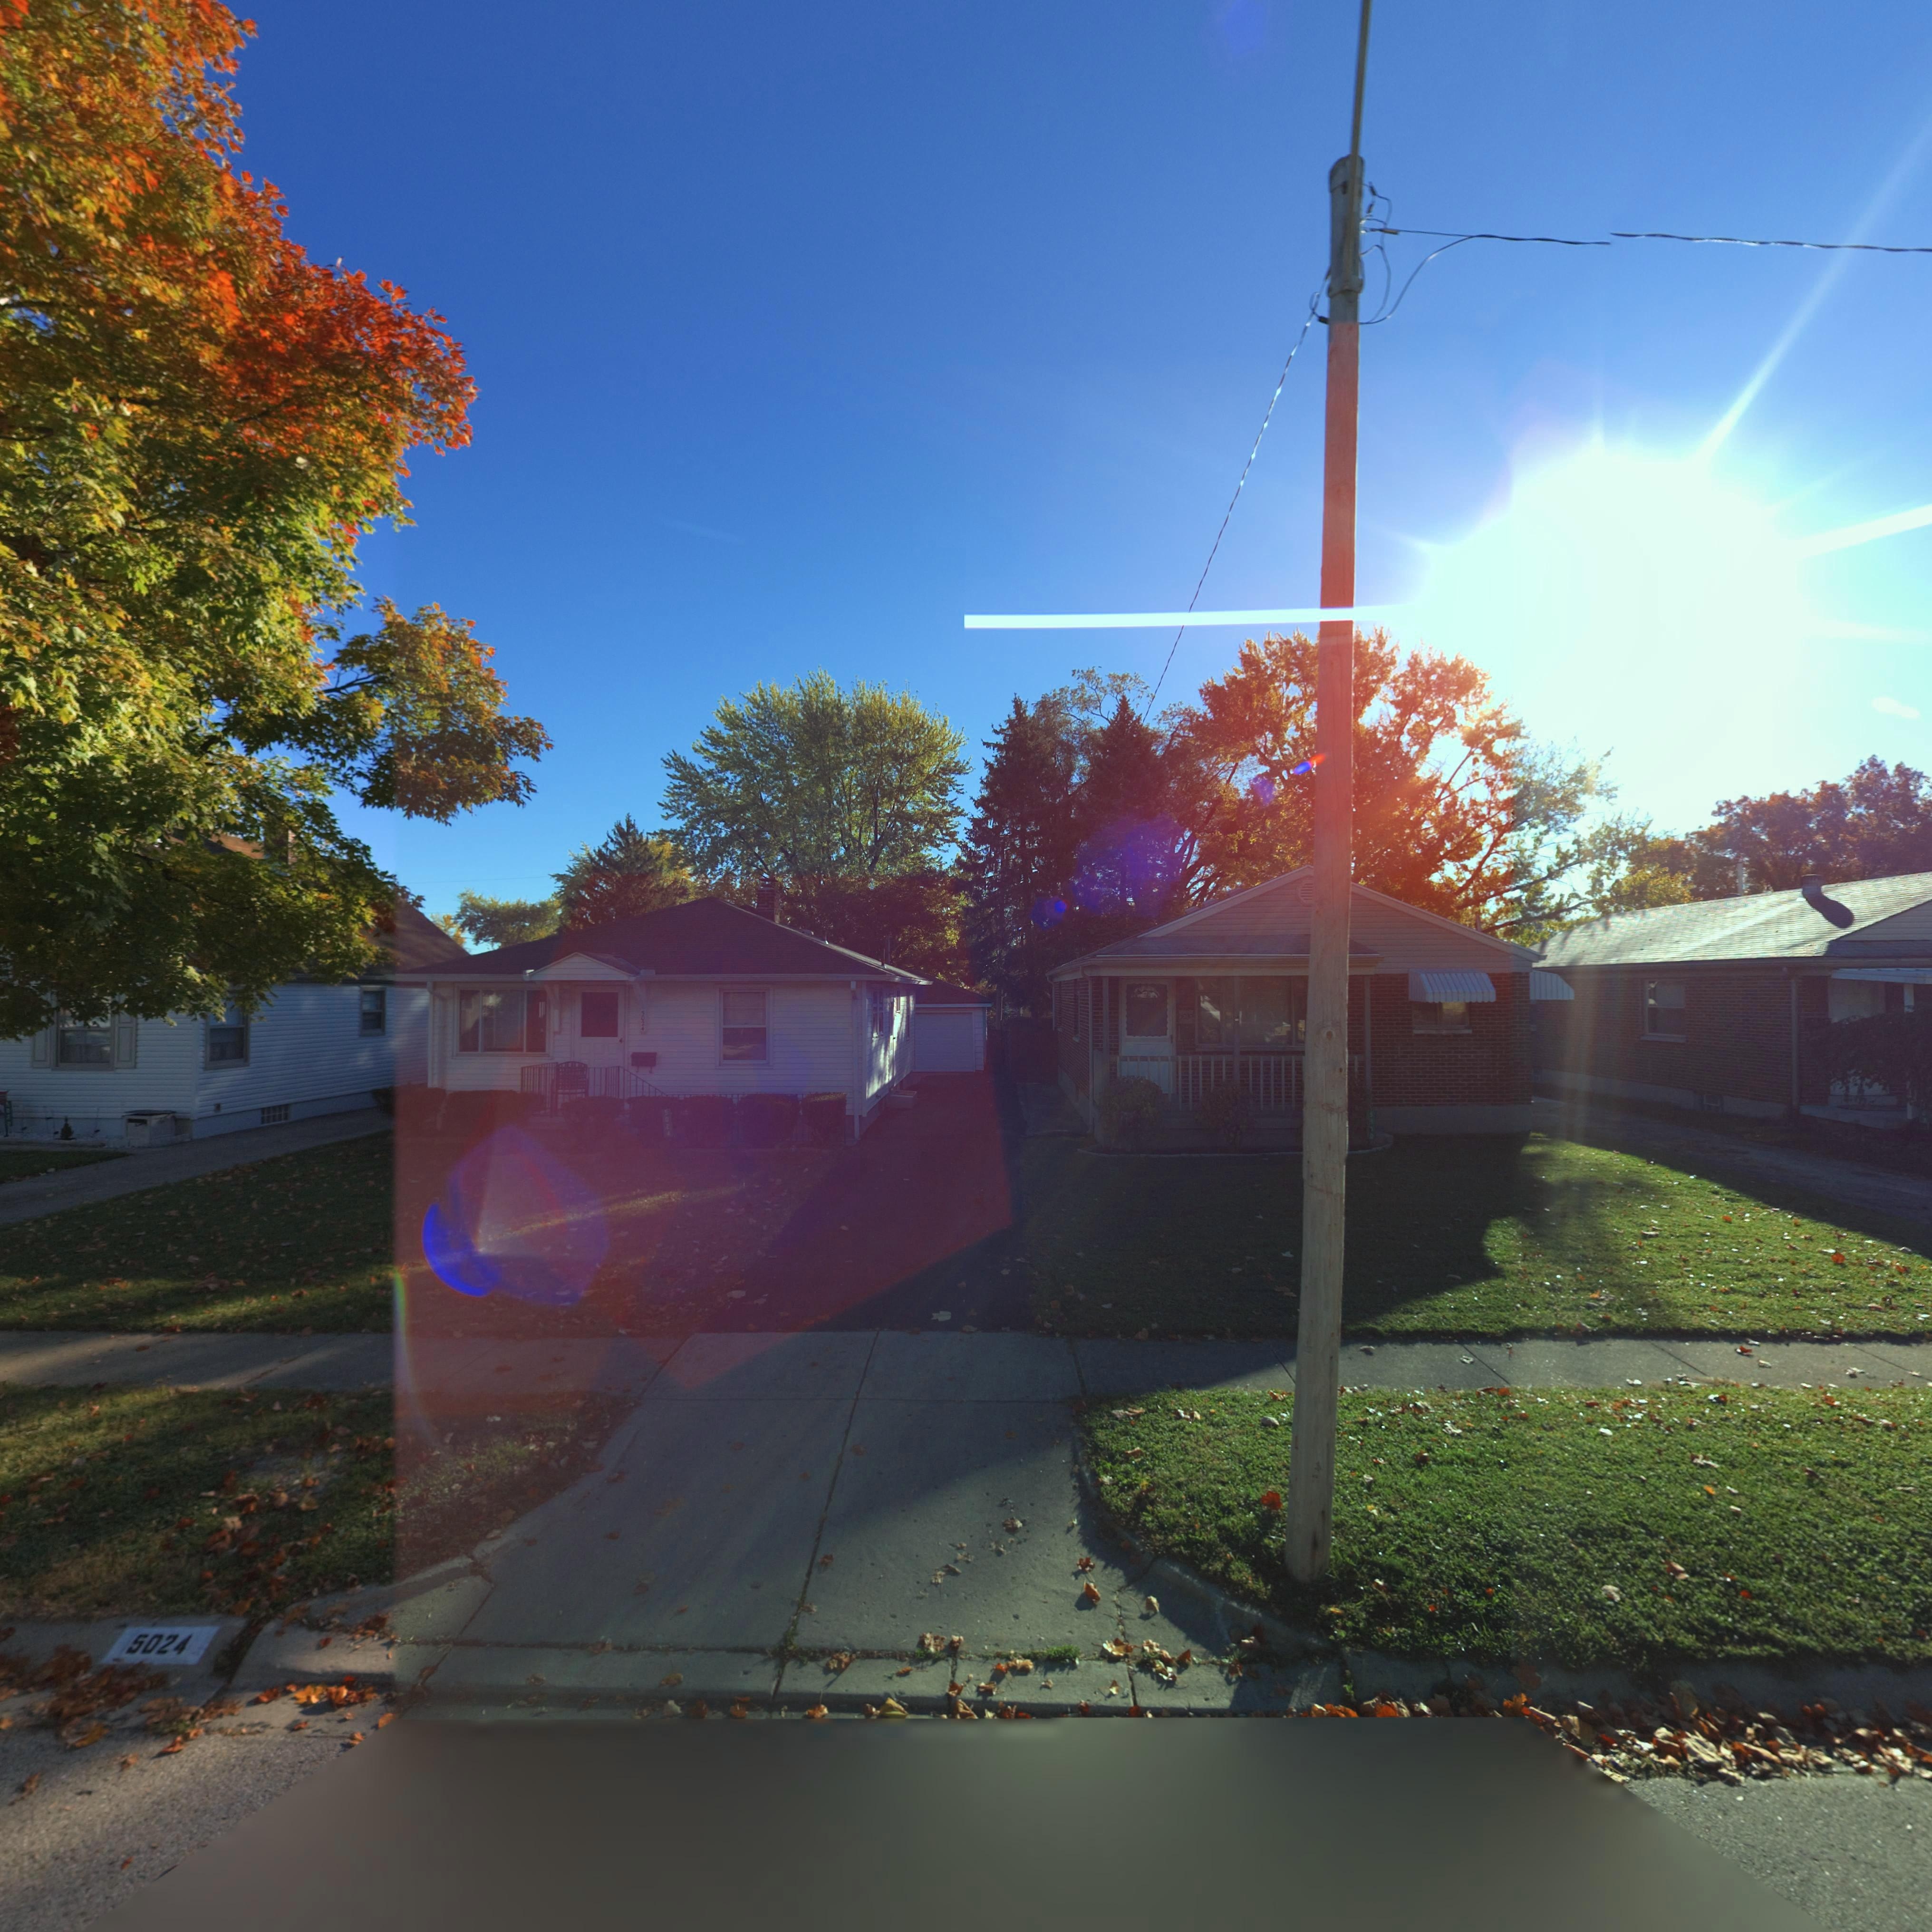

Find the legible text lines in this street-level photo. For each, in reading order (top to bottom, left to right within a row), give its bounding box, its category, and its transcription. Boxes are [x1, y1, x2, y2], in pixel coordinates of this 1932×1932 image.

[640, 1010, 646, 1031] StreetNumber: 5024
[1180, 1013, 1193, 1020] StreetNumber: *030
[663, 1109, 671, 1136] StreetNumber: 5024
[1368, 1111, 1374, 1140] StreetNumber: 5**0
[123, 1633, 194, 1656] StreetNumber: 5024